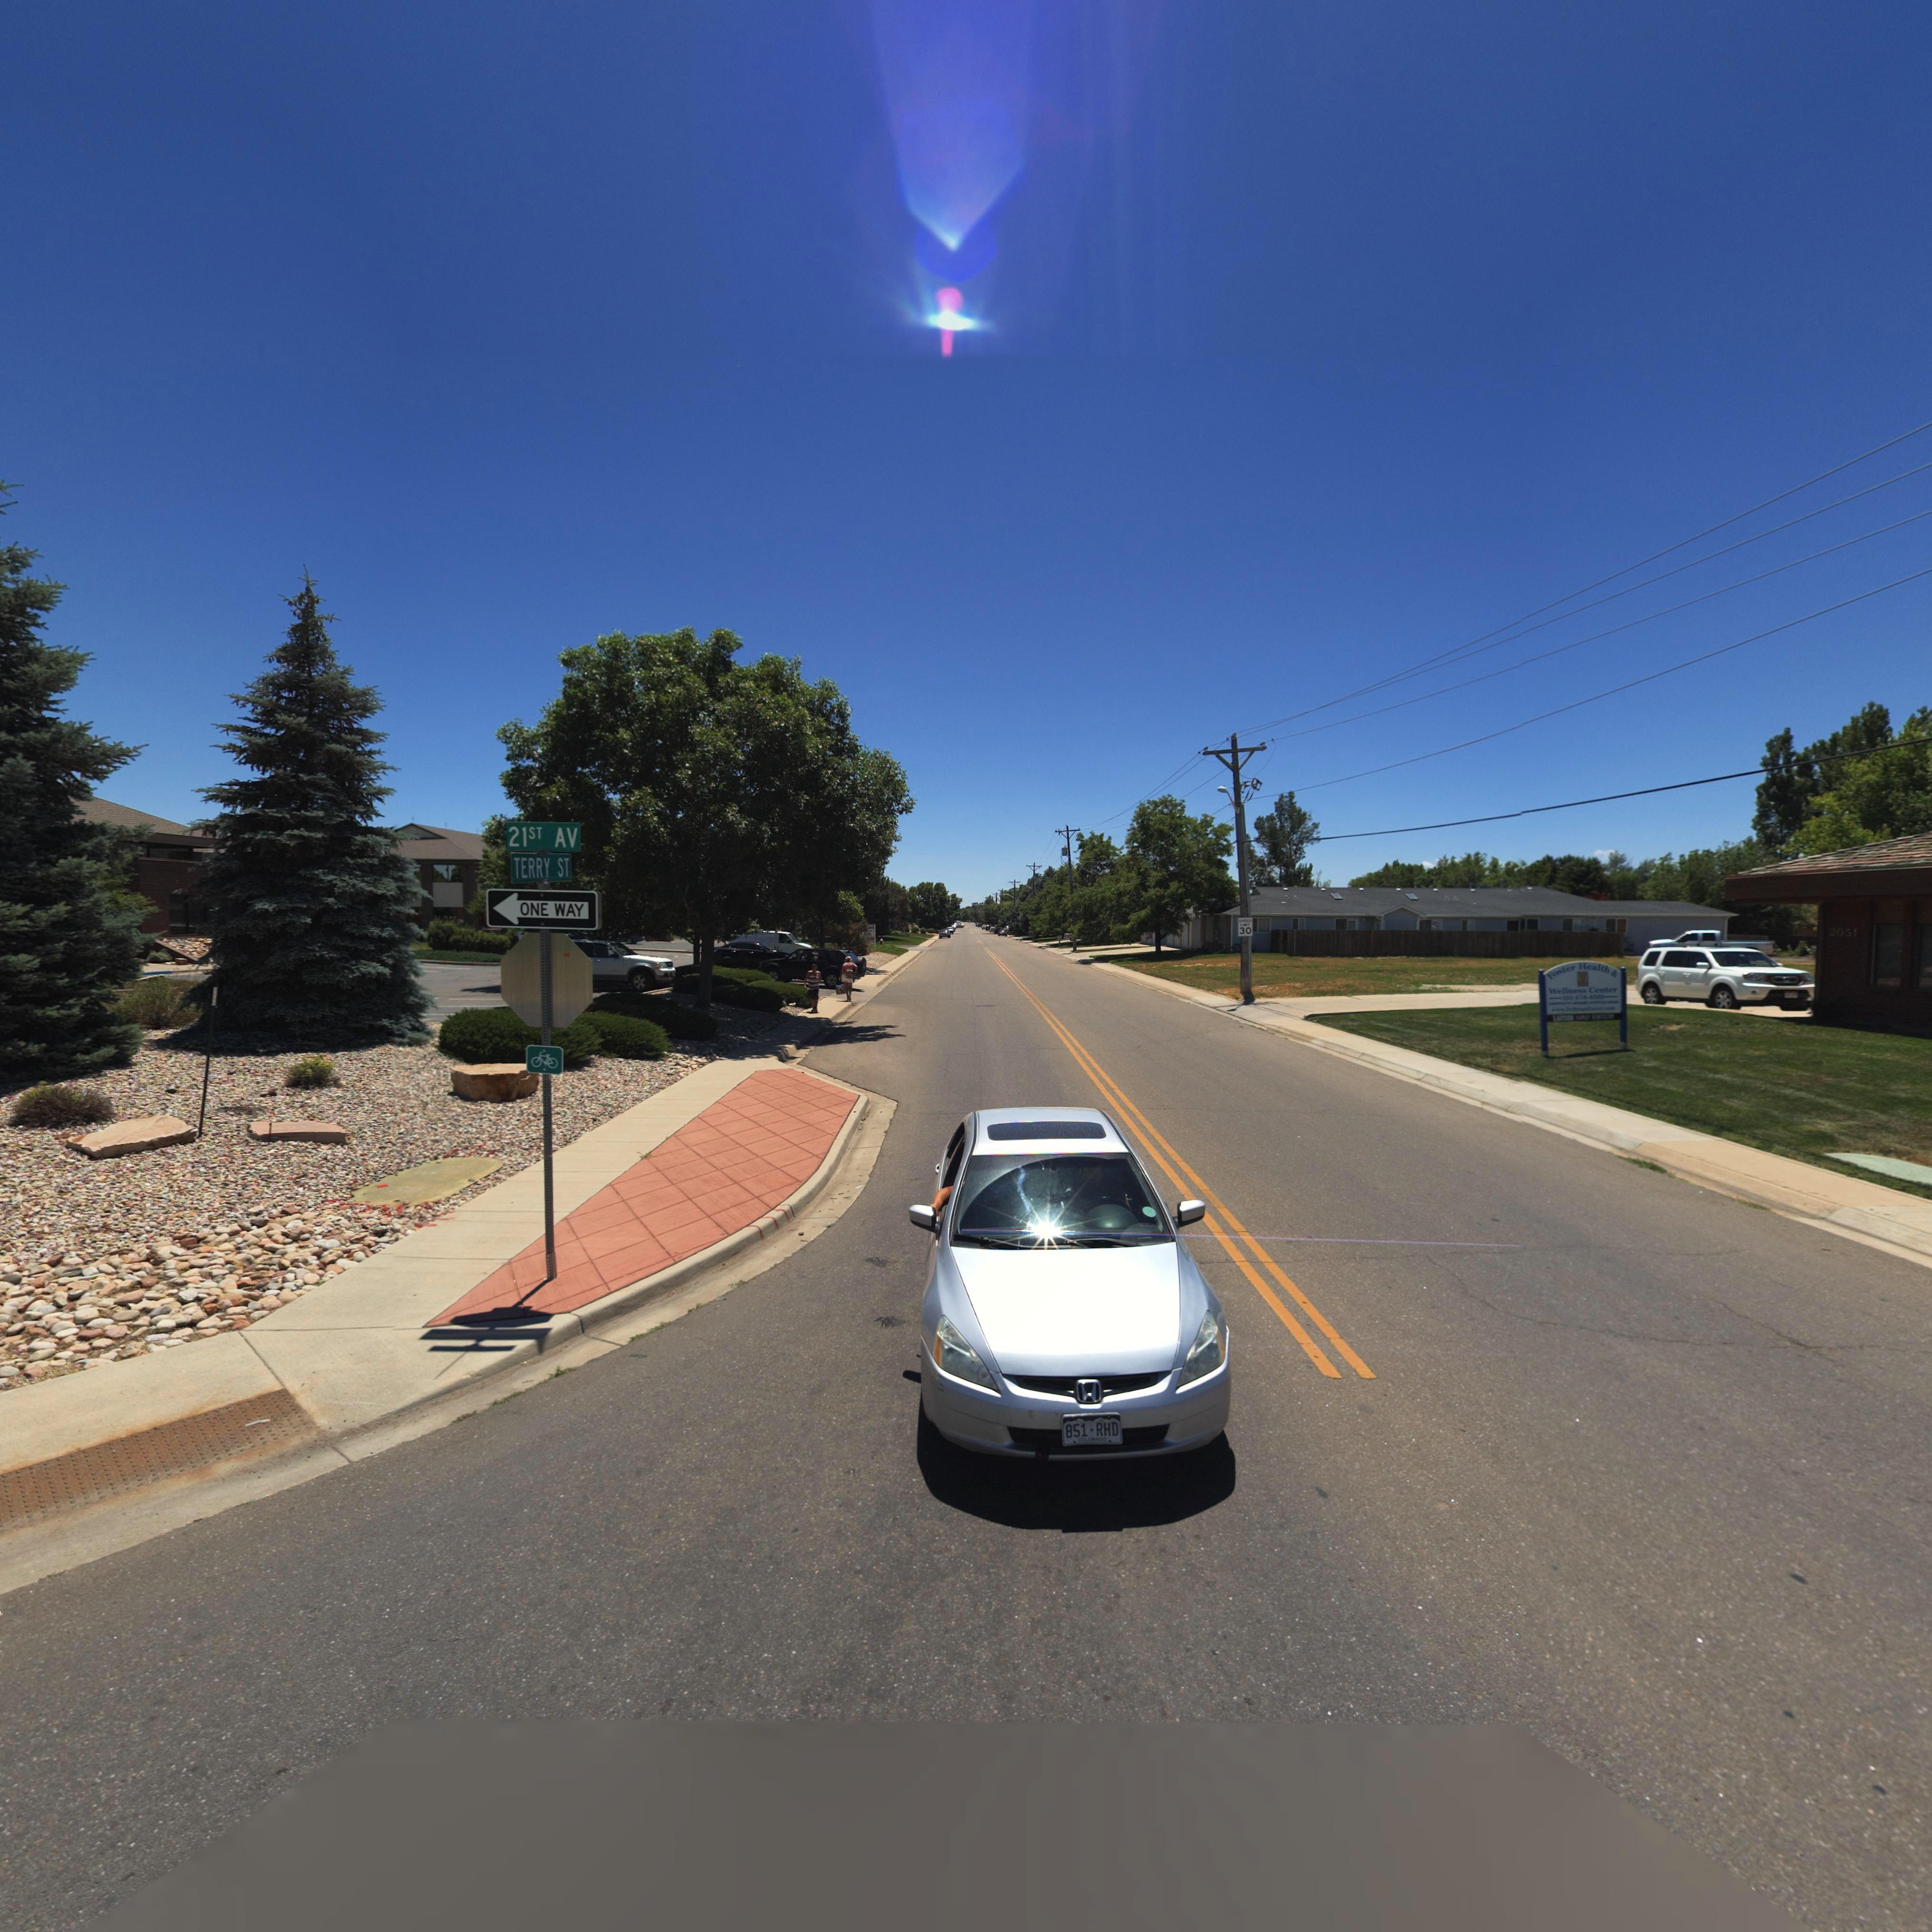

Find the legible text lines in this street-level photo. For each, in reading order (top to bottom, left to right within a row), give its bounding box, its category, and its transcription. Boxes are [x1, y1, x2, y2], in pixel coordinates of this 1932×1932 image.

[507, 825, 580, 849] StreetName: 21ST AV
[512, 856, 570, 879] StreetName: TERRY ST
[1828, 927, 1857, 937] StreetNumber: 2051
[1548, 986, 1619, 995] BusinessName: Wellness Center